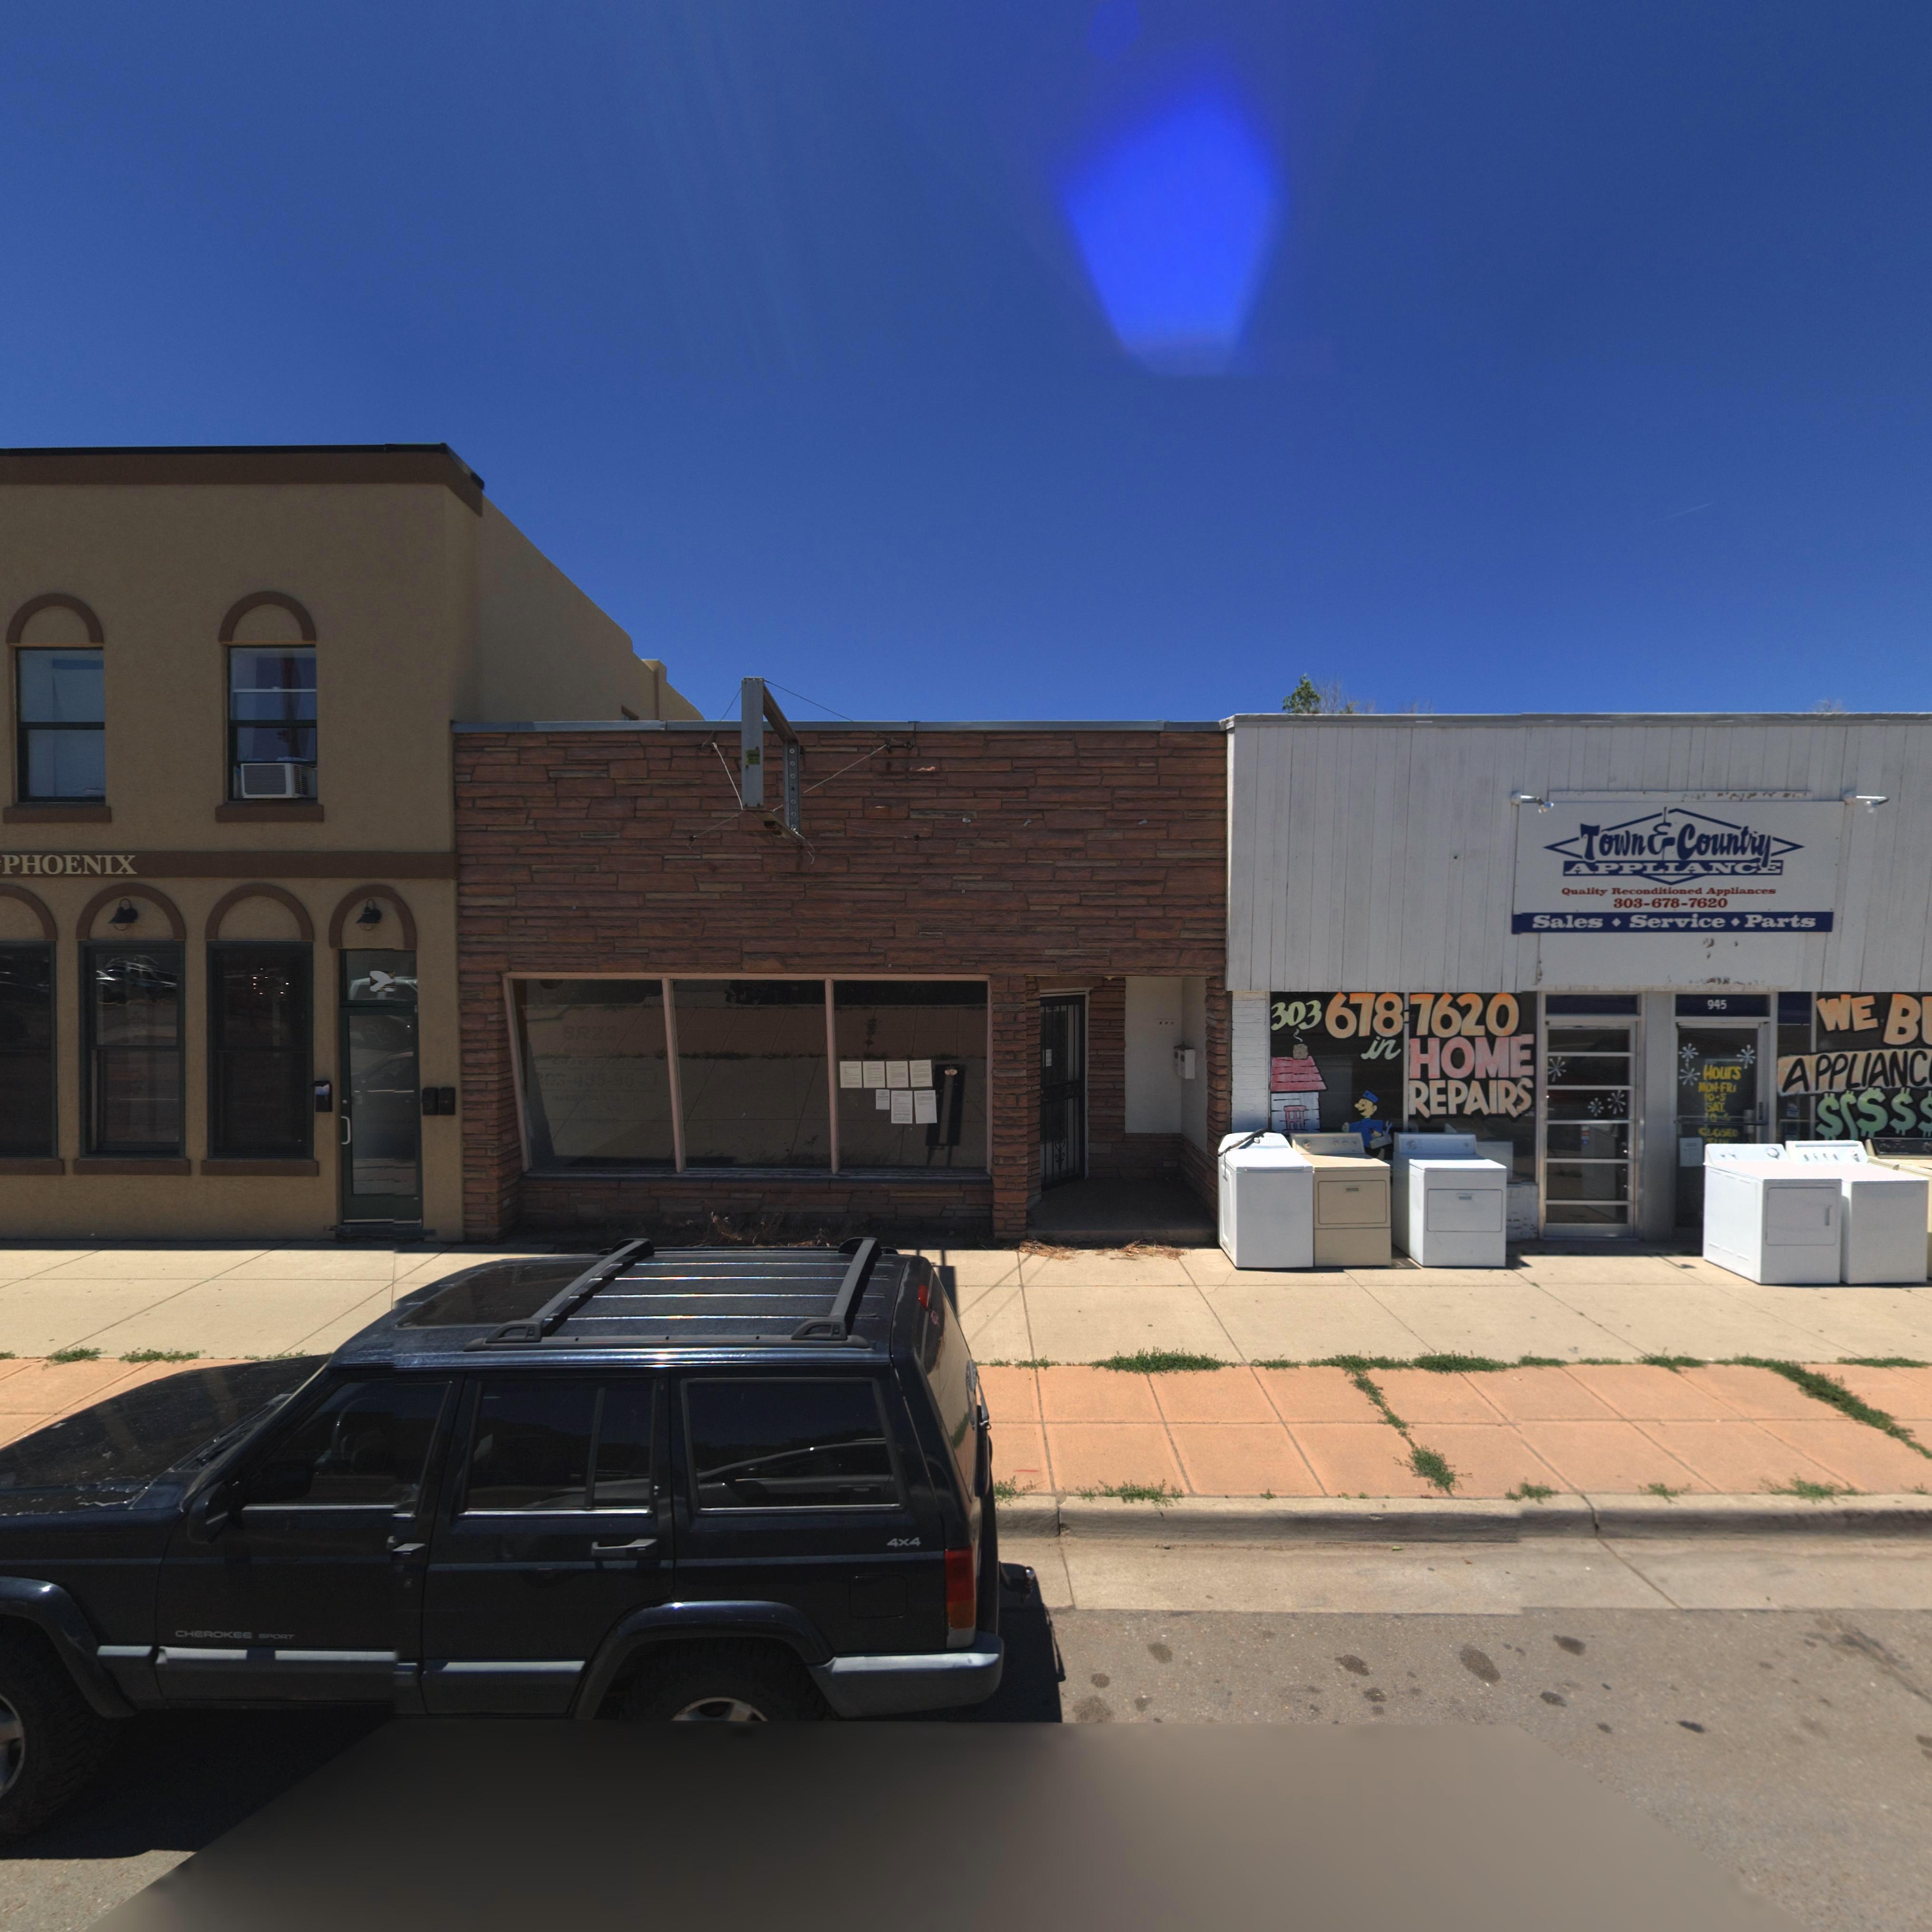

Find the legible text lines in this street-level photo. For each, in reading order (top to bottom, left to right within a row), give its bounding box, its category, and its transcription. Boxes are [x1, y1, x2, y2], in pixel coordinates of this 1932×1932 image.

[1578, 820, 1771, 868] BusinessName: Town * Country
[1, 854, 138, 874] BusinessName: PHOENIX
[1564, 861, 1782, 875] BusinessName: APPLIANCE
[1706, 999, 1727, 1009] StreetNumber: 945